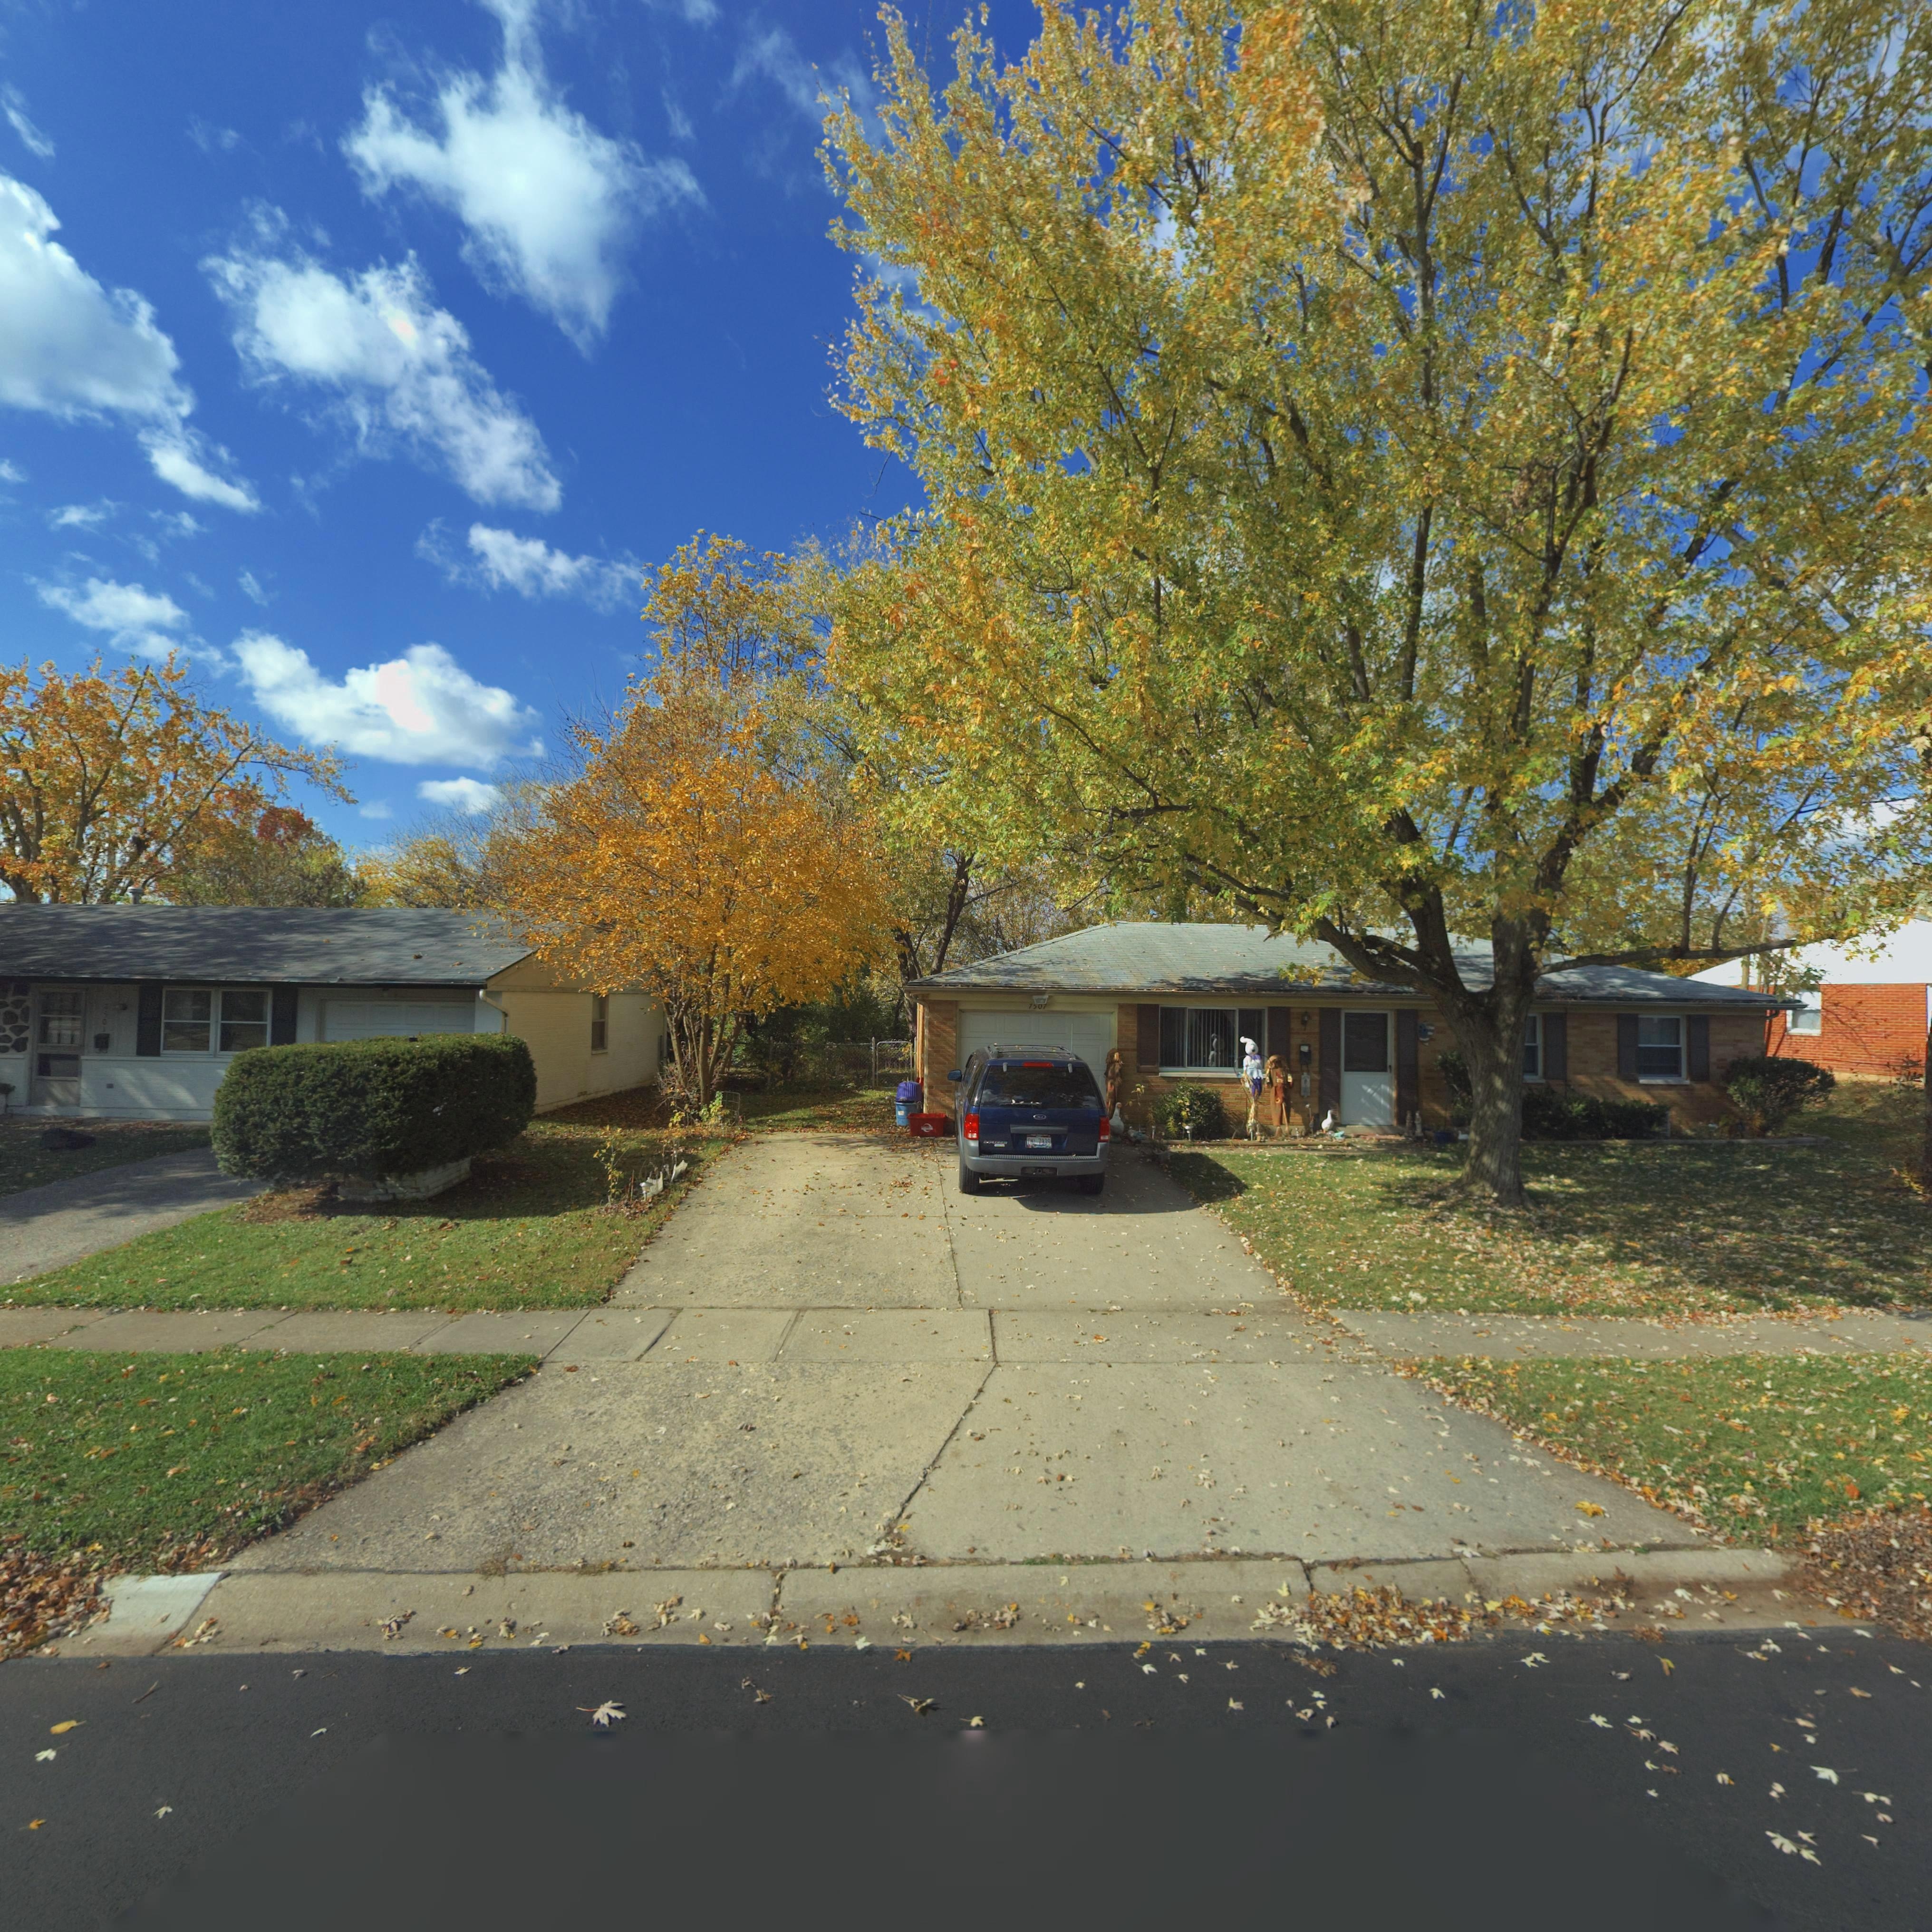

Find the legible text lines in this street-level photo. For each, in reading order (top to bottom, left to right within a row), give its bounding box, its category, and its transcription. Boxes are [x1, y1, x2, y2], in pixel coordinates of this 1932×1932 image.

[100, 1002, 109, 1033] StreetNumber: 7501
[1028, 1003, 1048, 1010] StreetNumber: 7507